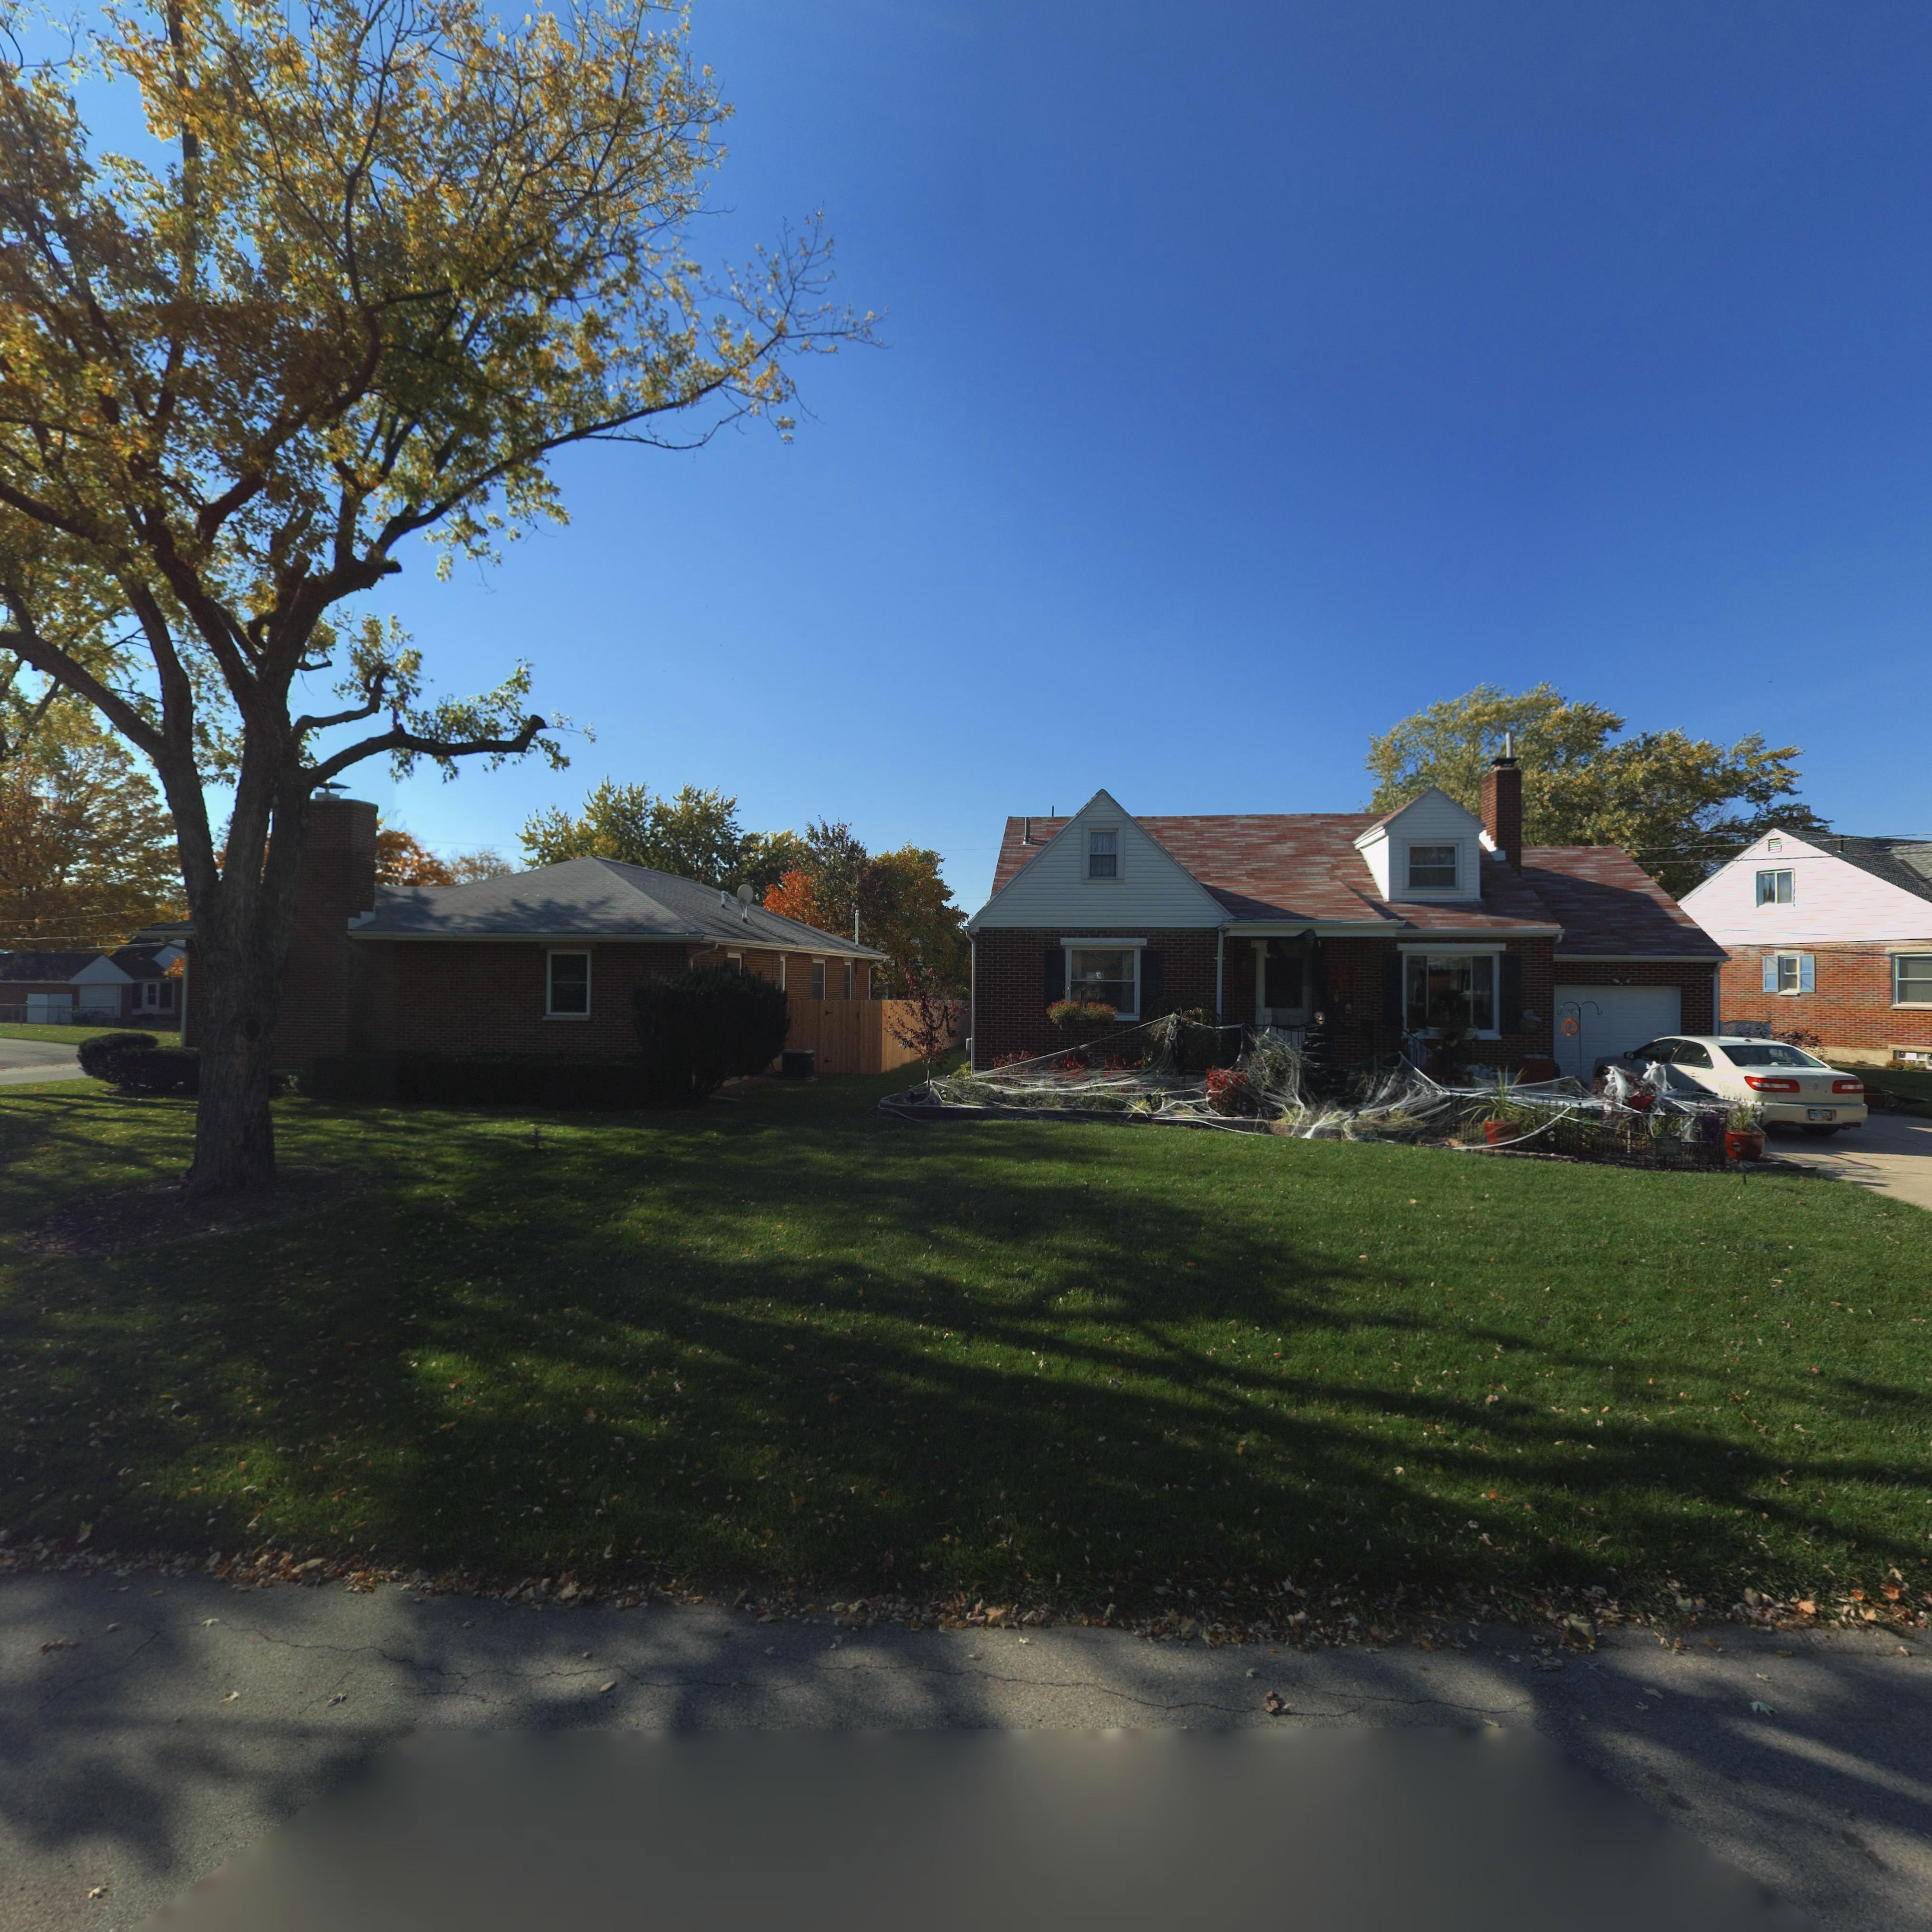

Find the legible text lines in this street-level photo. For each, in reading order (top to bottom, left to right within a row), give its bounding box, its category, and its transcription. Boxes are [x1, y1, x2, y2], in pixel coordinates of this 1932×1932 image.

[1669, 1146, 1676, 1153] StreetNumber: 61